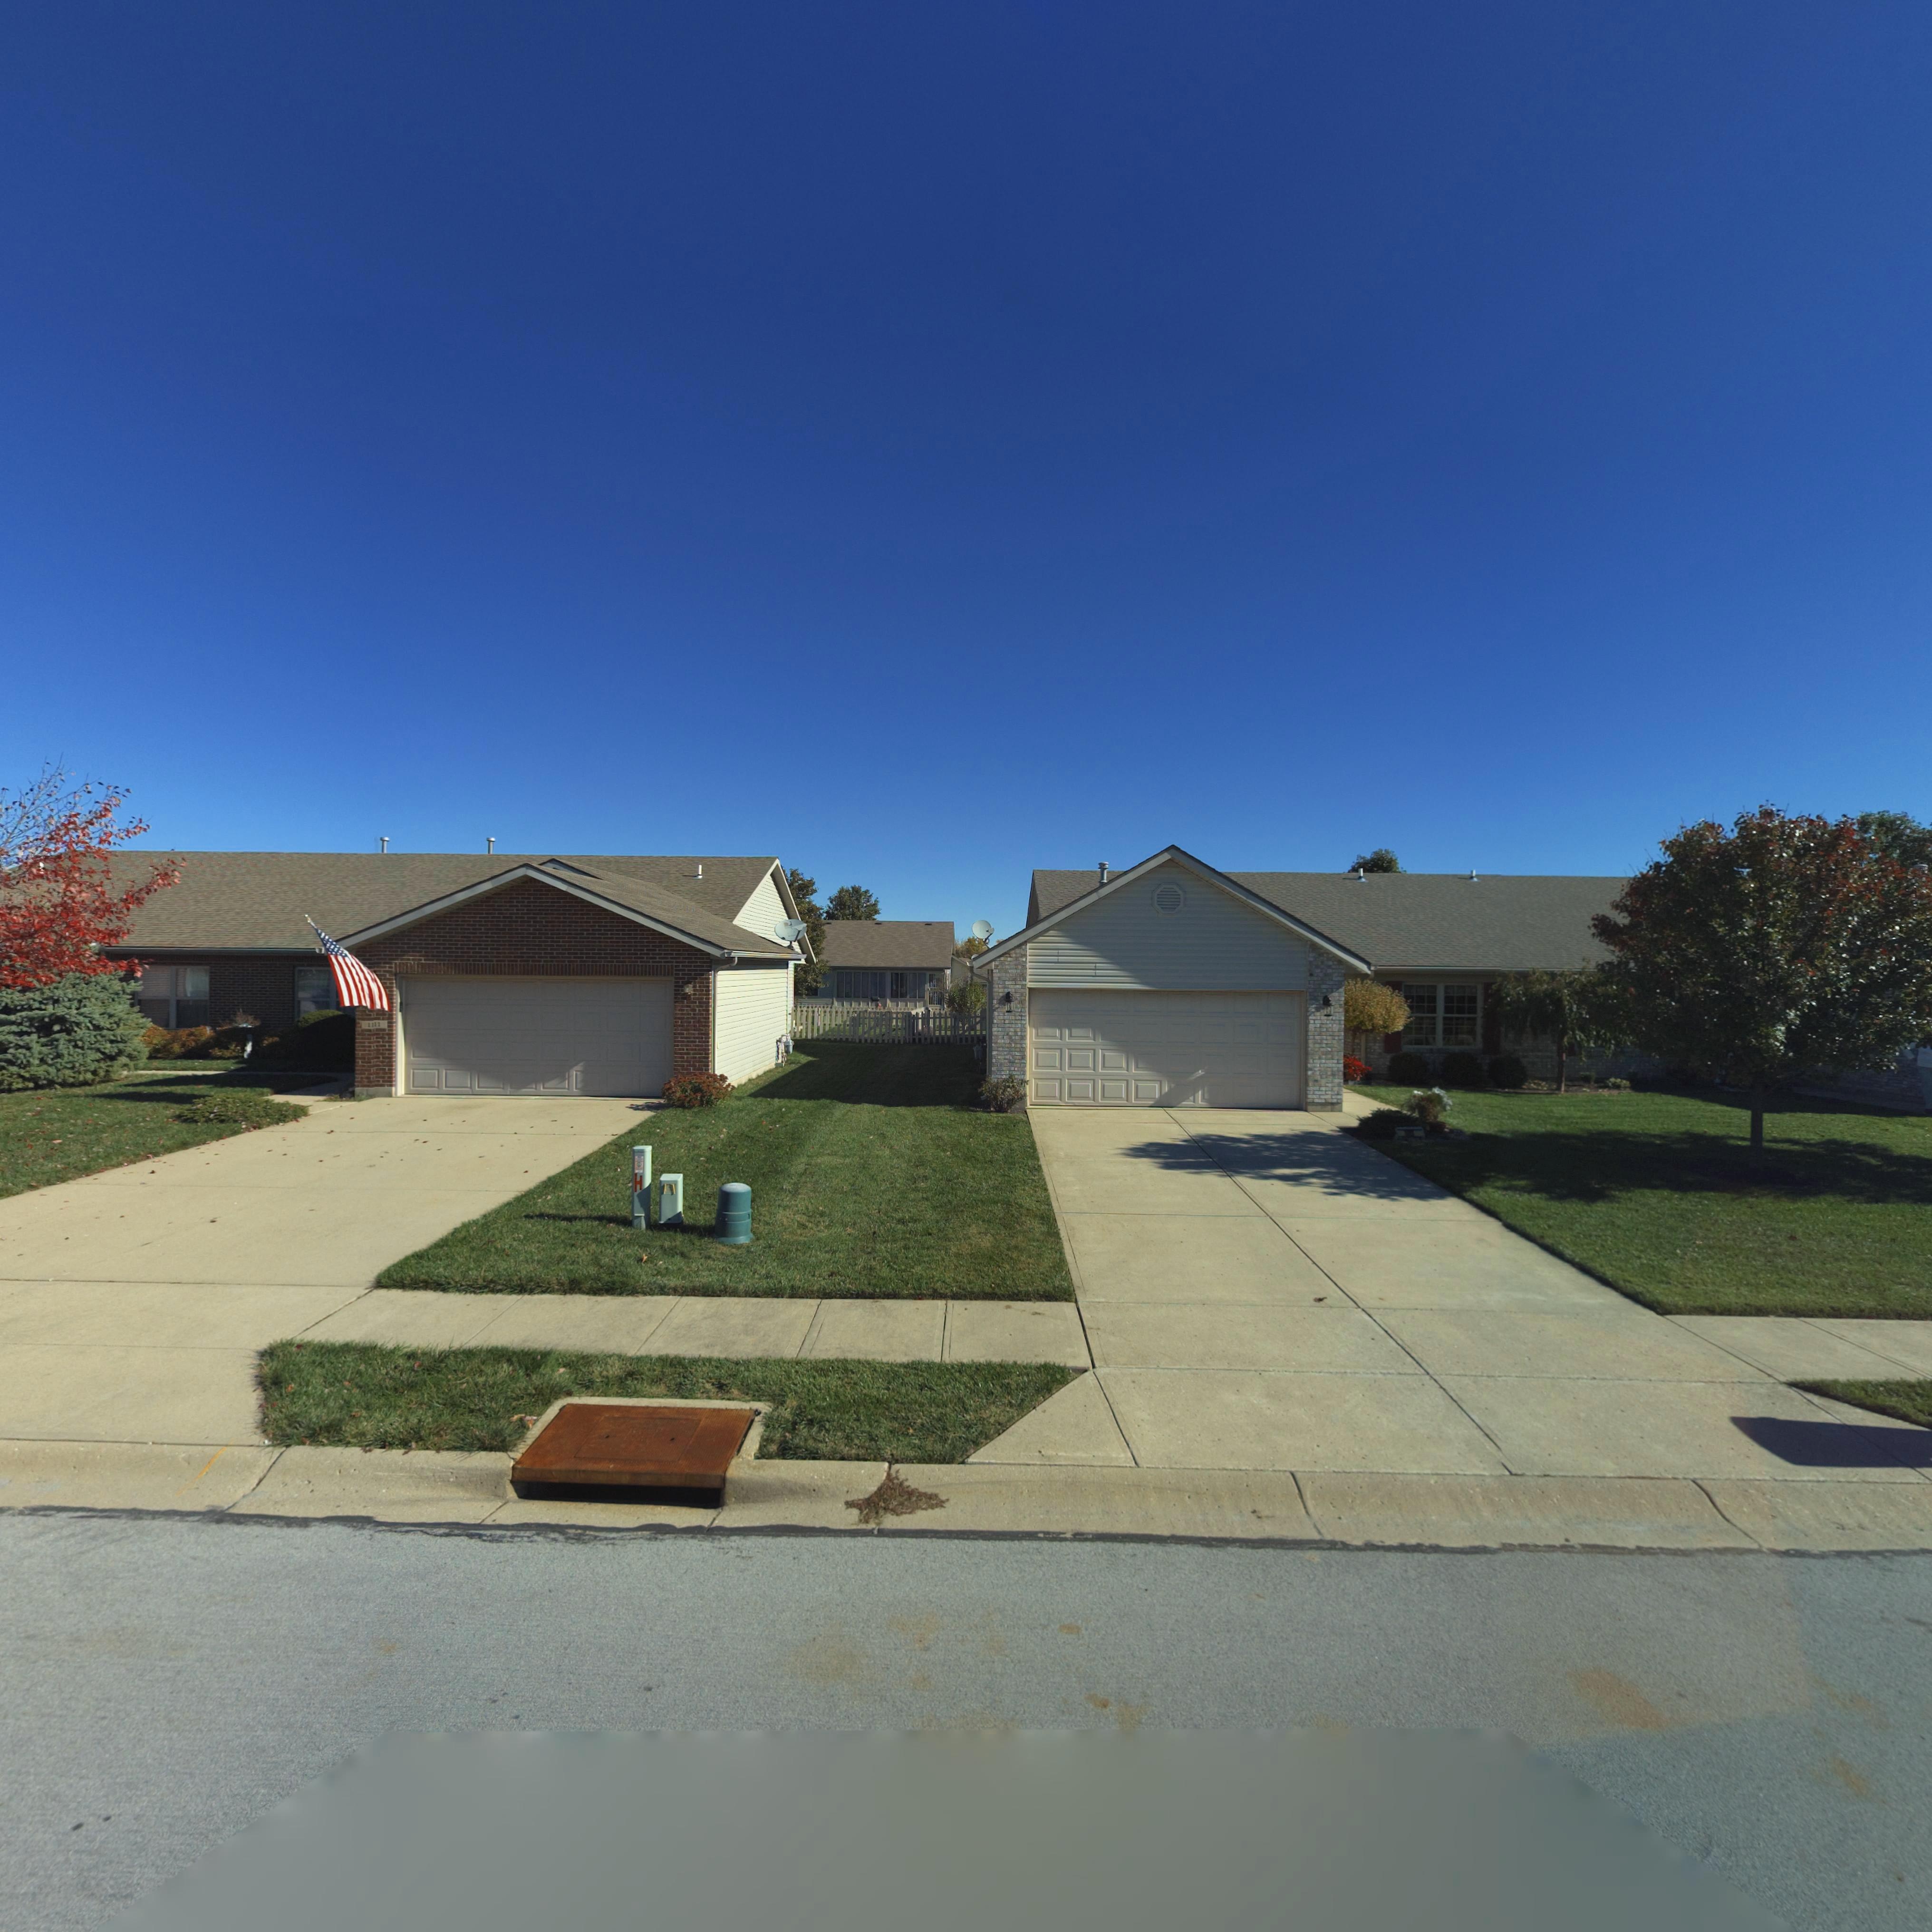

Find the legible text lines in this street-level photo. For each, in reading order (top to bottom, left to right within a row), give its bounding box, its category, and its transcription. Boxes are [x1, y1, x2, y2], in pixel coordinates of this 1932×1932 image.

[367, 1021, 380, 1028] StreetNumber: 1111